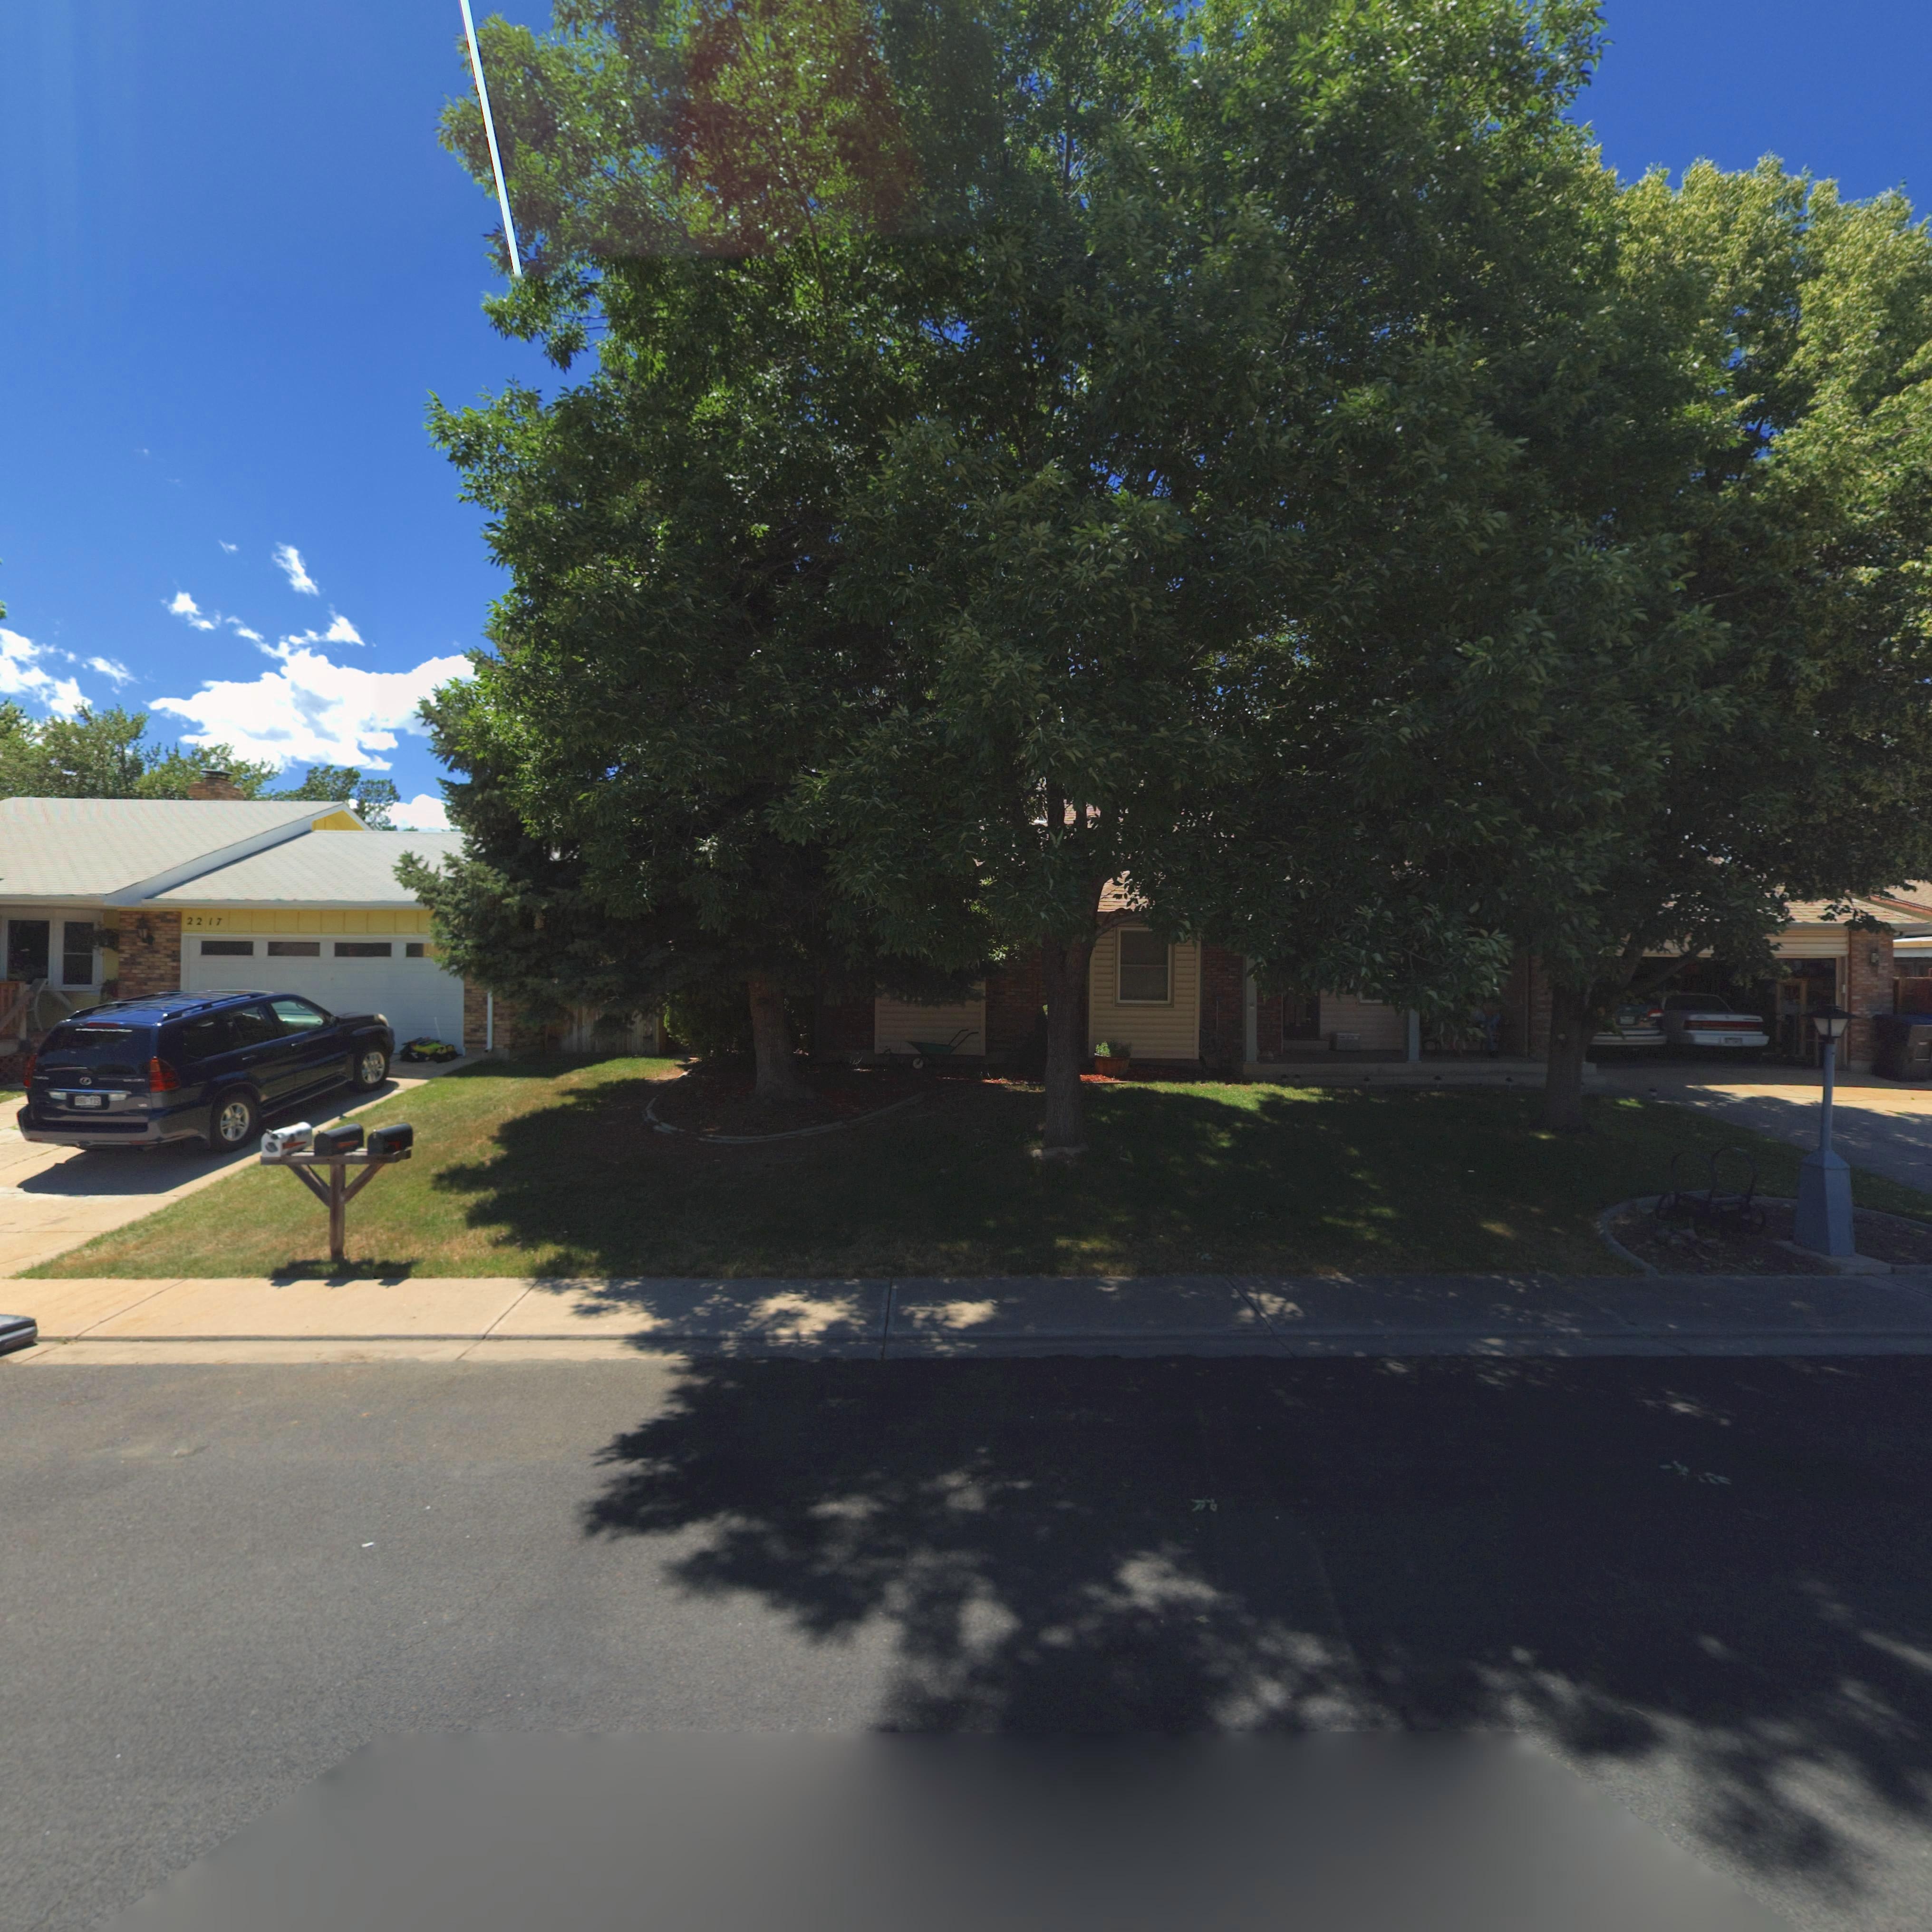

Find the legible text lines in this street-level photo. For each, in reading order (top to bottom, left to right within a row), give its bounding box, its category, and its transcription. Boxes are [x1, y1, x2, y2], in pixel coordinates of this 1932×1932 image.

[186, 917, 223, 926] StreetNumber: 2217